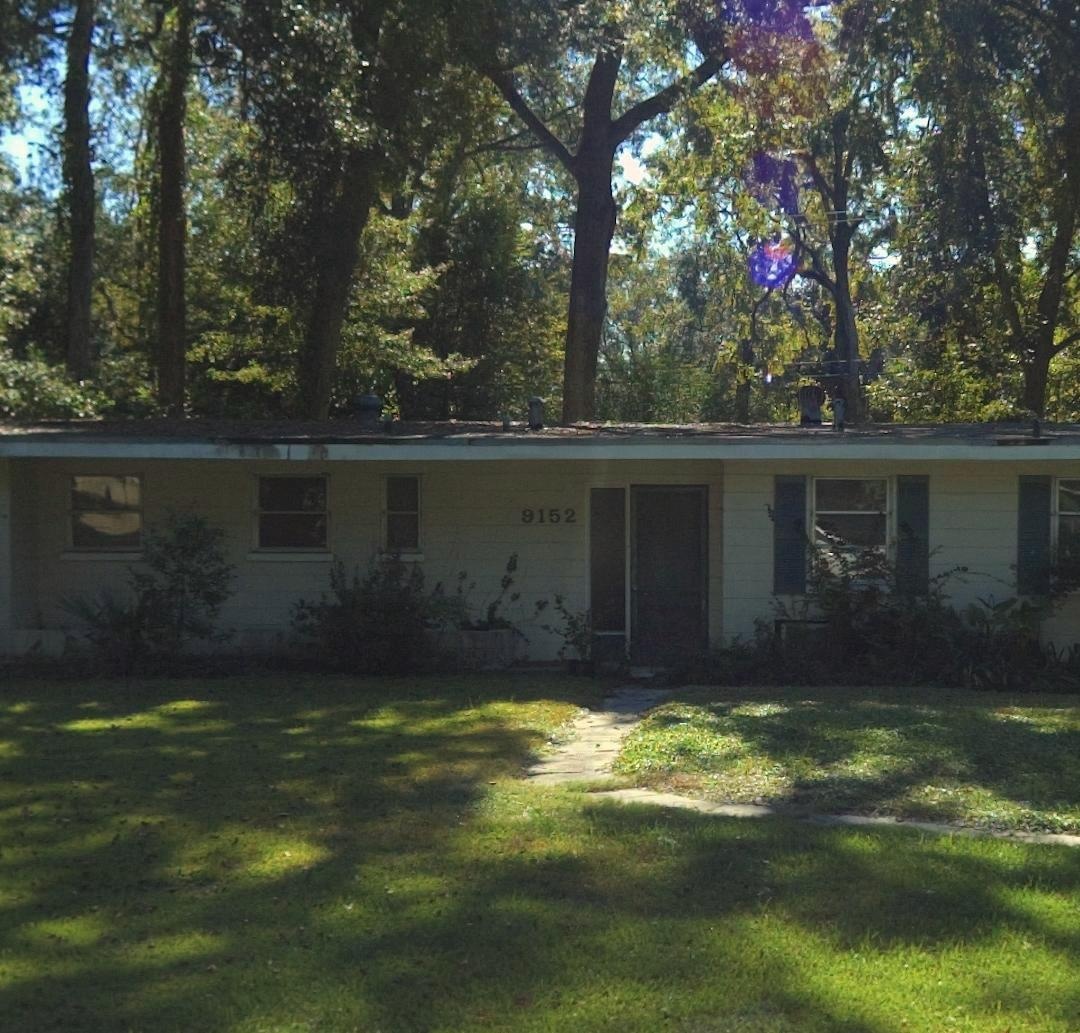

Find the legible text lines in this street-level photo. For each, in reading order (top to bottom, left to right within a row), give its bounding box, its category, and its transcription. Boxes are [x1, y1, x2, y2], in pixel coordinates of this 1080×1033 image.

[520, 507, 578, 525] StreetNumber: 9152